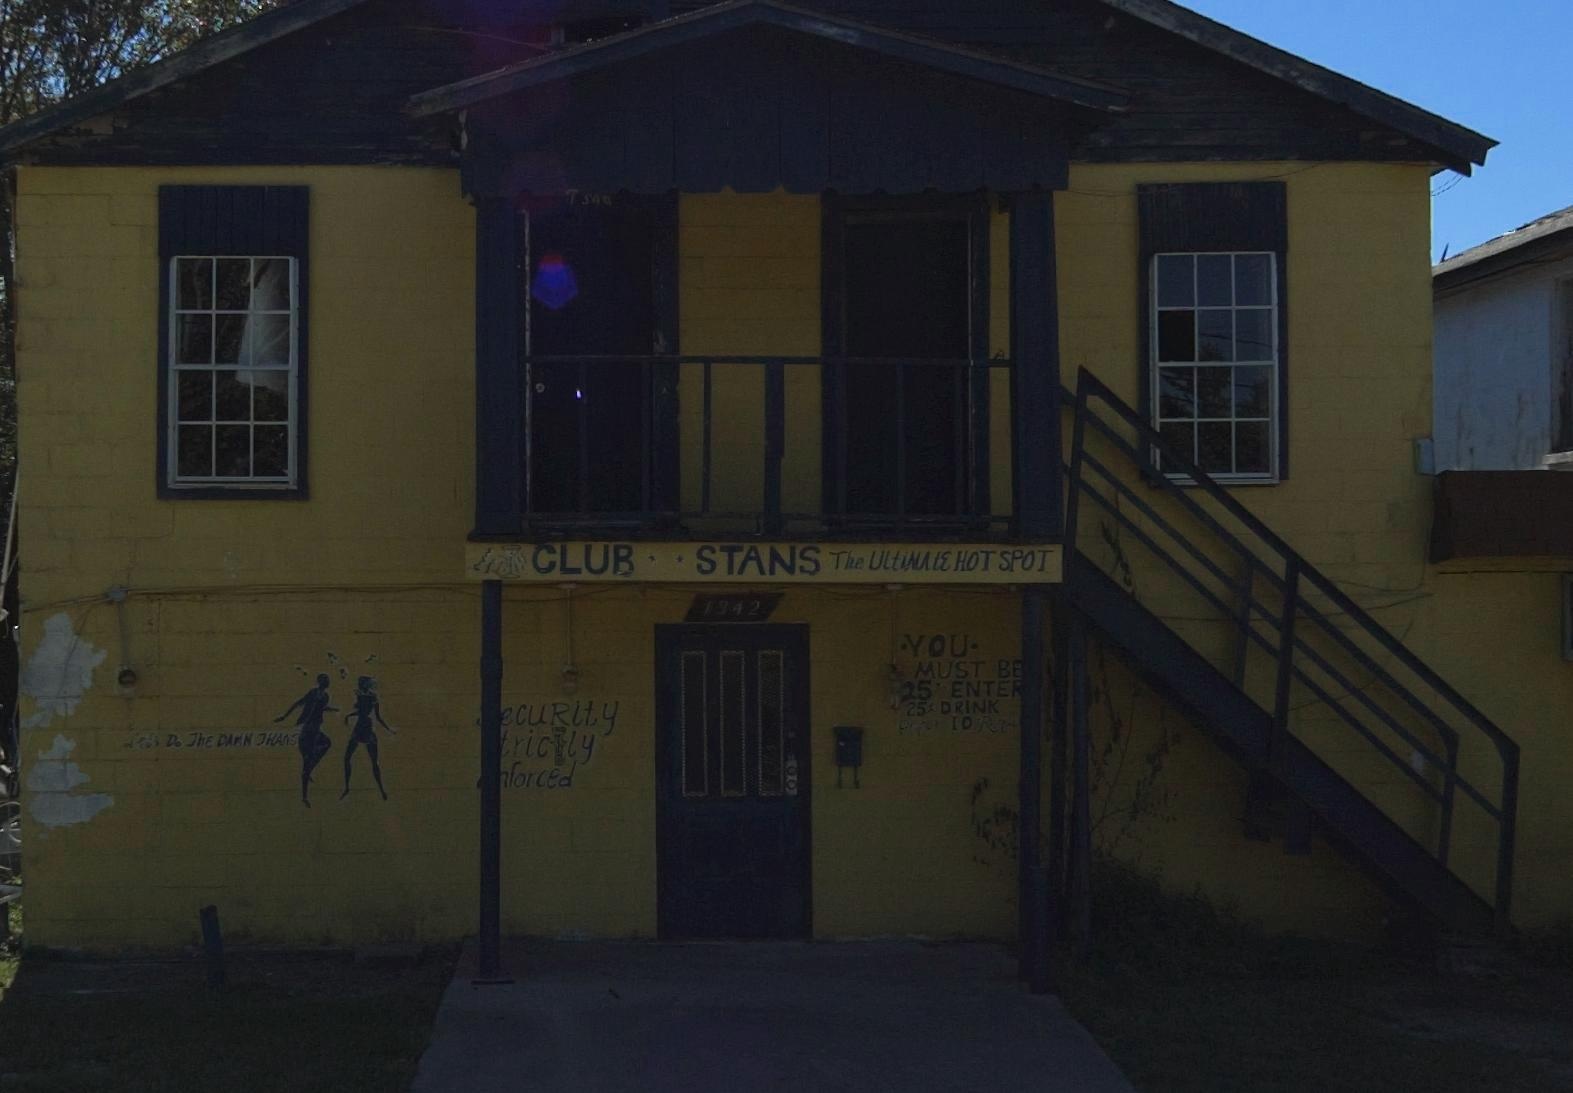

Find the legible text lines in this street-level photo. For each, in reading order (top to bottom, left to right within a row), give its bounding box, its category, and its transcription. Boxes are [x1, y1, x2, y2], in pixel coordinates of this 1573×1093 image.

[530, 542, 1056, 576] BusinessName: CLUB STANS The Ultimate HOT SPOT
[702, 598, 761, 616] StreetNumber: 1942
[904, 632, 969, 659] None: YOU
[913, 659, 1012, 680] None: MUST B
[900, 680, 1012, 701] None: 25 *o ENTER
[501, 699, 619, 735] None: ecurity
[906, 698, 1000, 717] None: 25 ** DRINK
[949, 716, 973, 731] None: 10
[164, 730, 300, 749] None: Do The DAMN THANG
[500, 727, 596, 767] None: tric*ly
[508, 760, 578, 789] None: forced